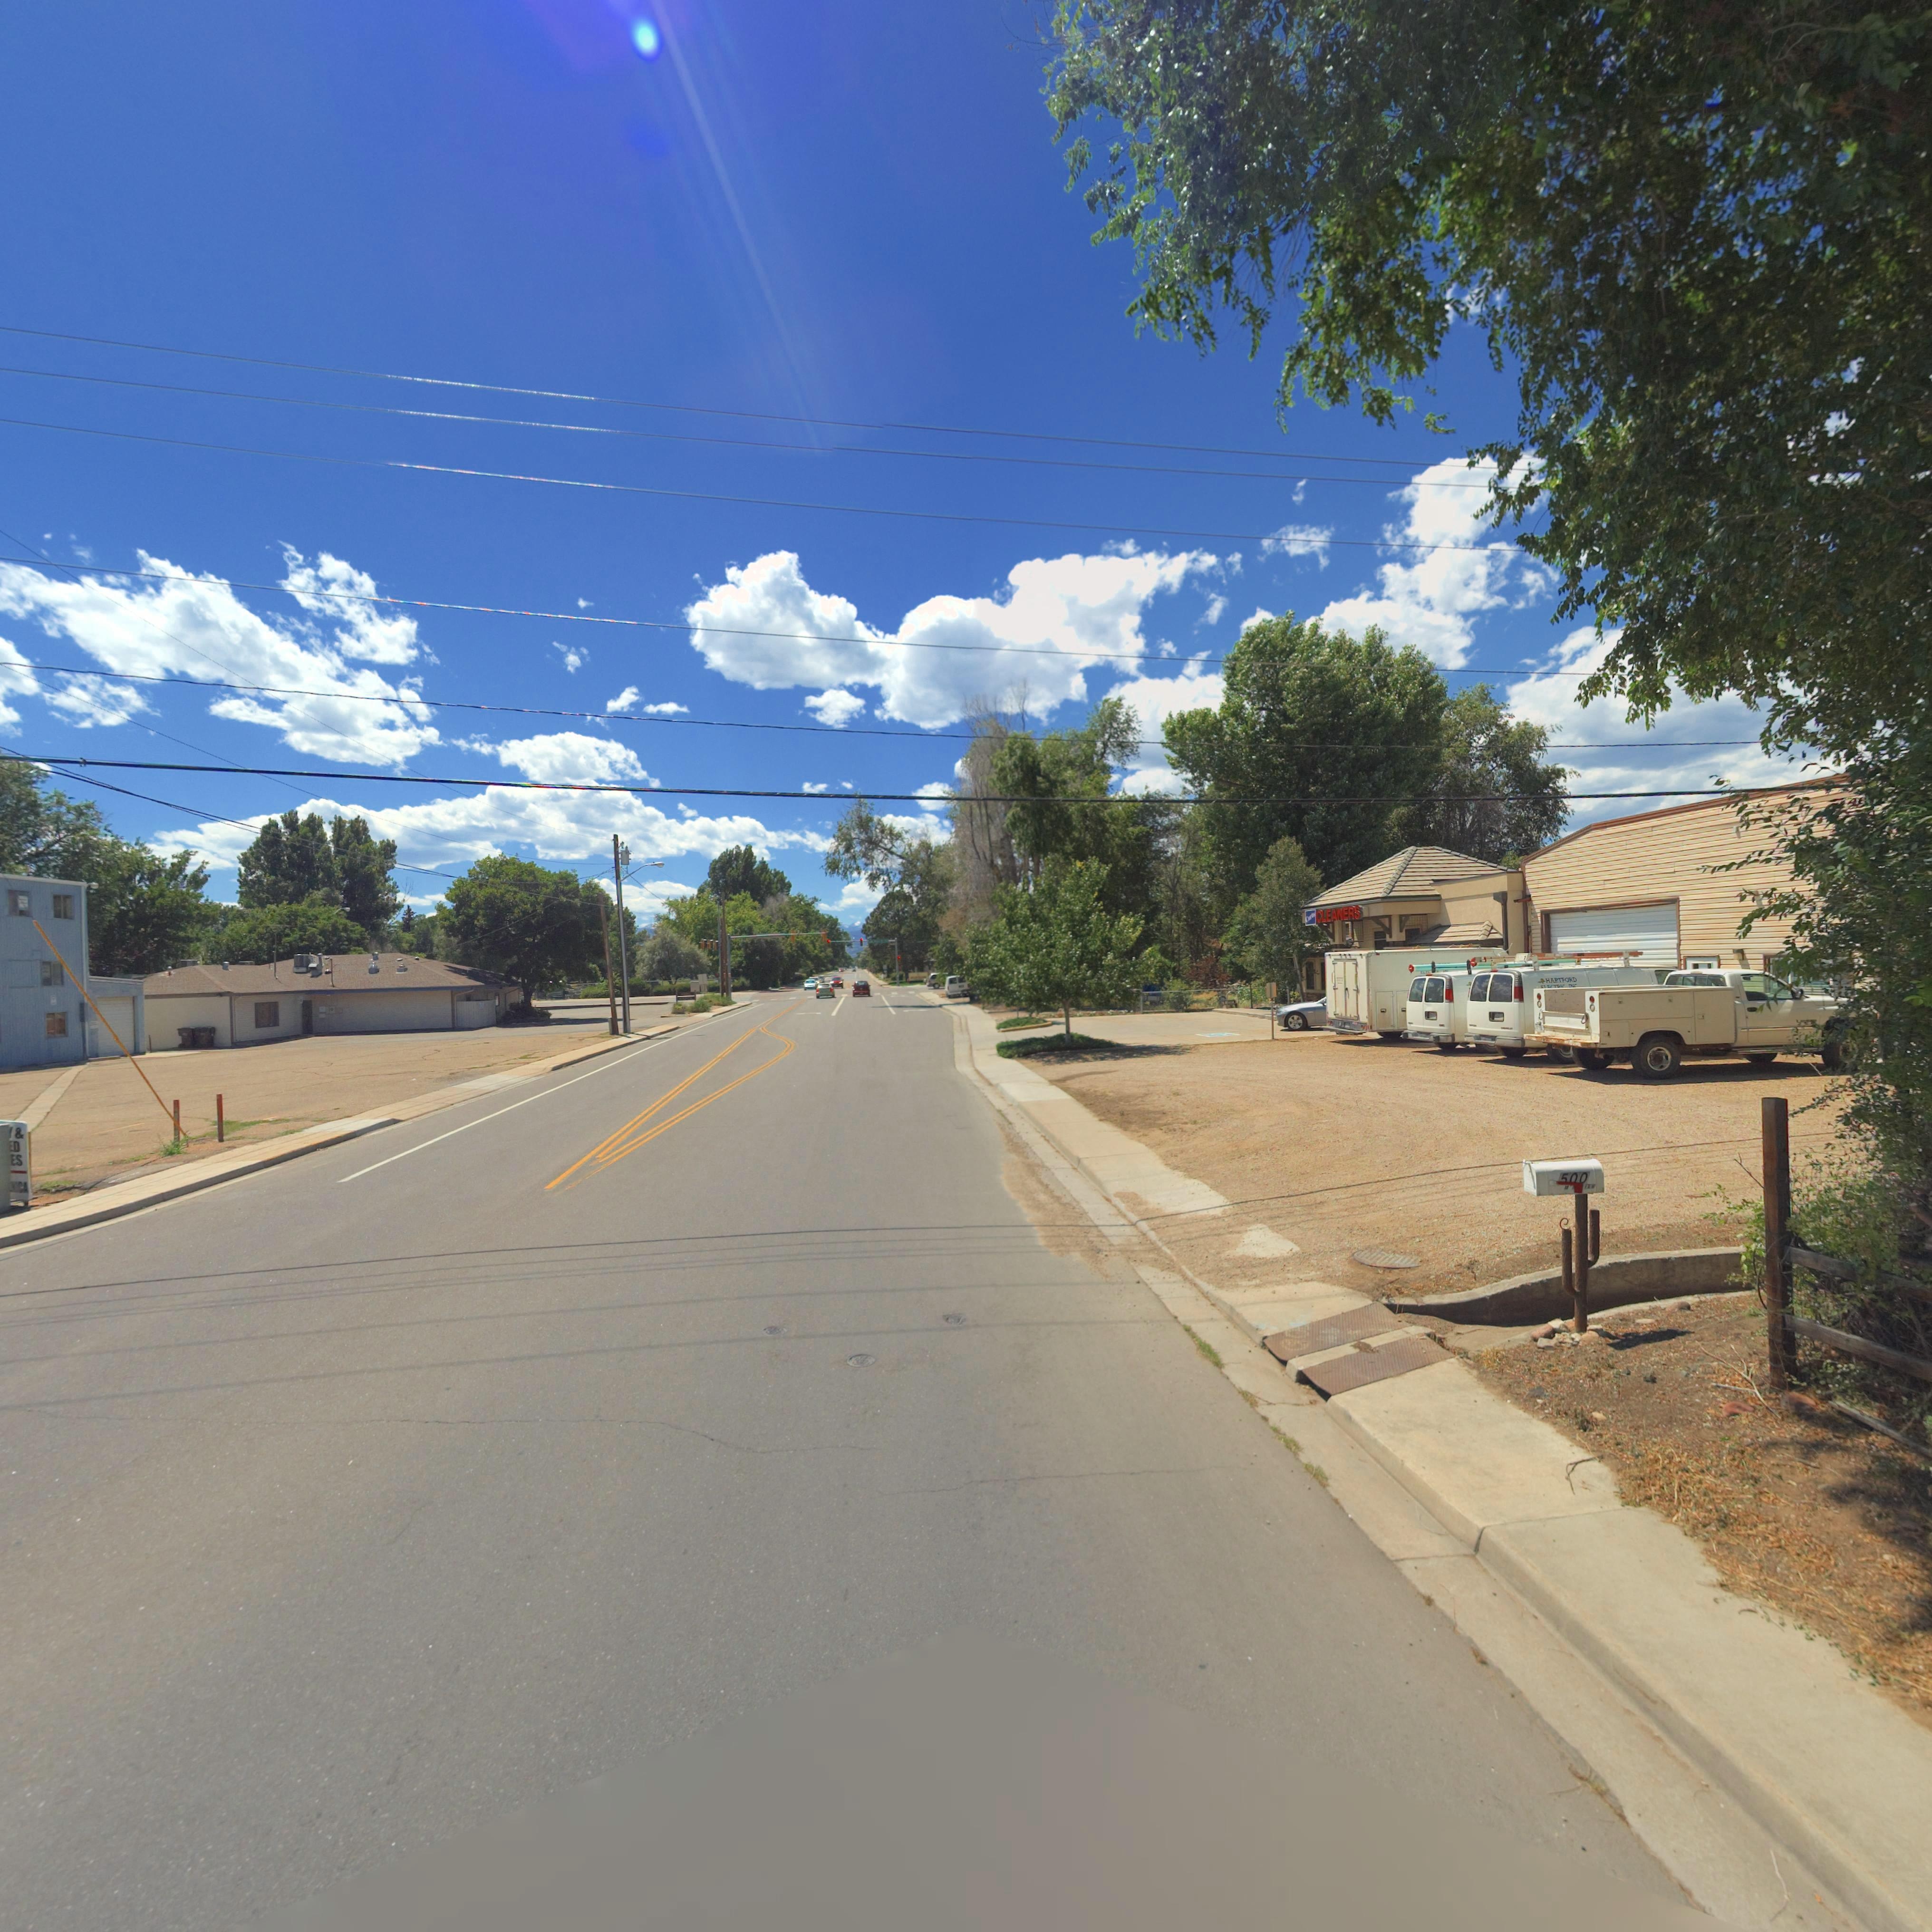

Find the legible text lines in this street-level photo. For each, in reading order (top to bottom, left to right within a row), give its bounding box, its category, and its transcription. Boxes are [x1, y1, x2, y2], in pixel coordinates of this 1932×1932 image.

[1305, 912, 1315, 923] BusinessName: C*rts
[1315, 904, 1361, 923] BusinessName: CLEANERS
[1560, 1171, 1588, 1184] StreetNumber: 500